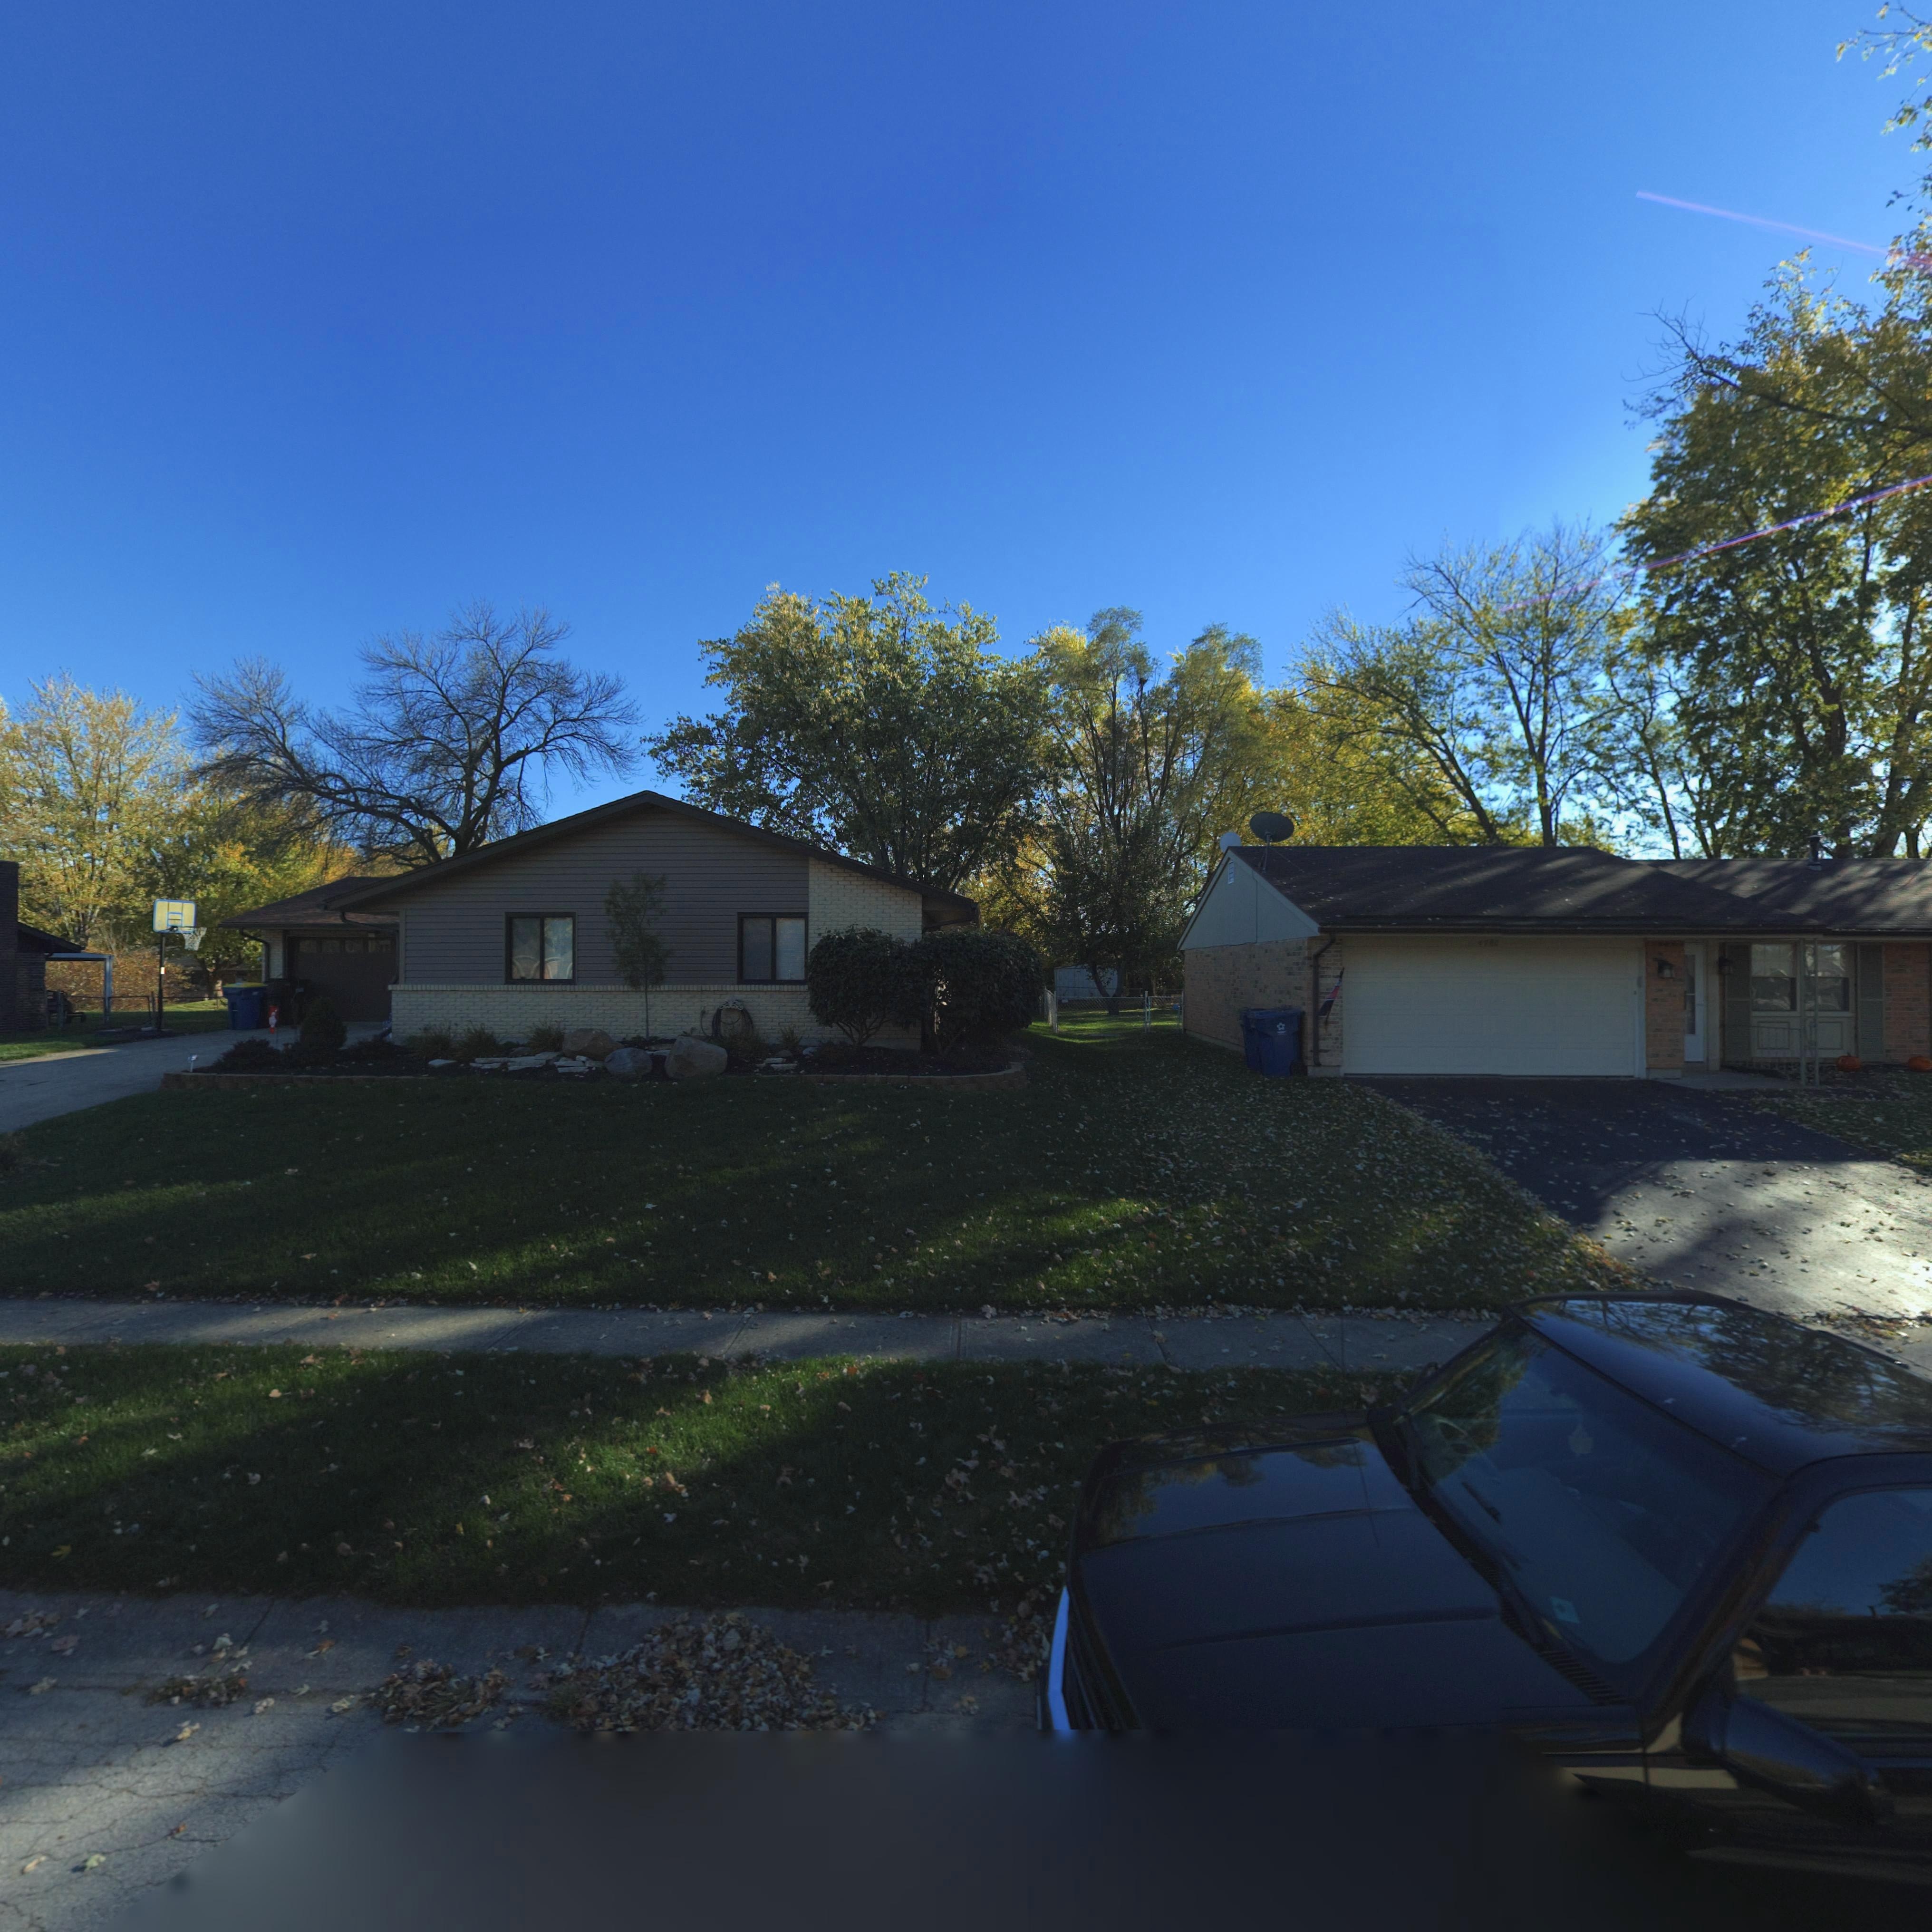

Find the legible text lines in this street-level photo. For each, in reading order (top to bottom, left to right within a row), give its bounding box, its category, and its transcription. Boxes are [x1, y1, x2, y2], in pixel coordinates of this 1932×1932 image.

[1477, 938, 1500, 947] StreetNumber: 4980